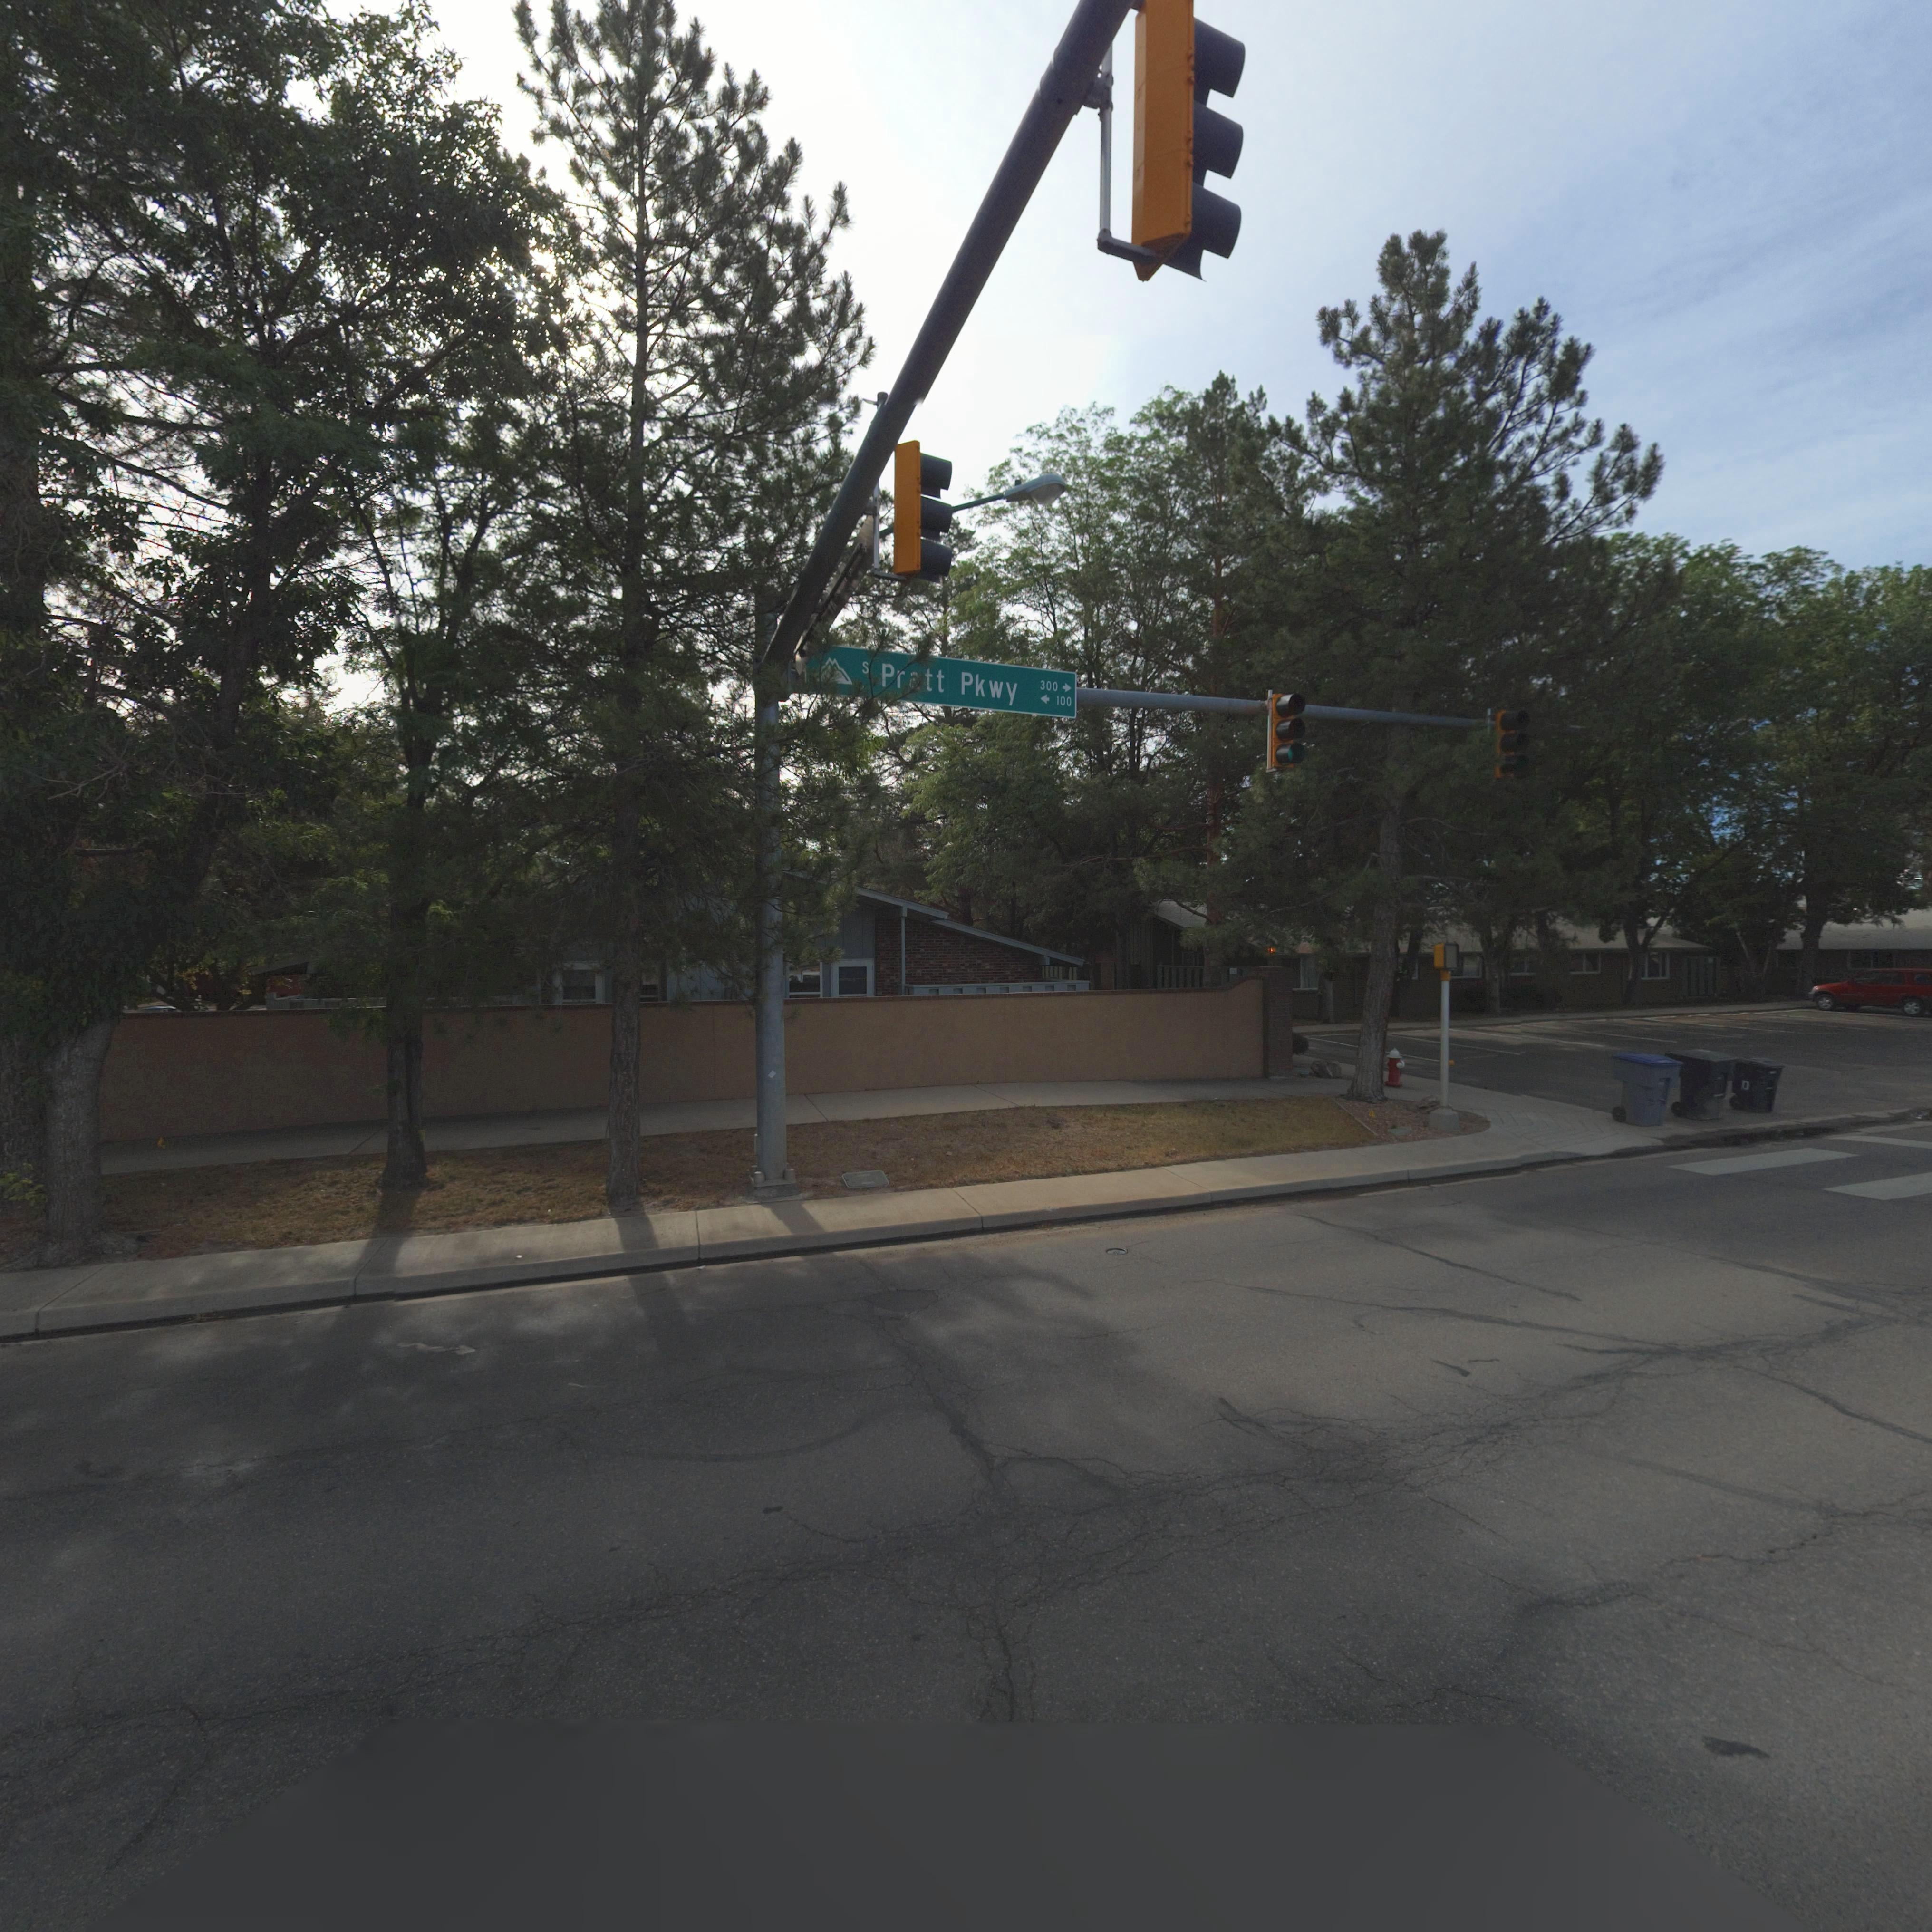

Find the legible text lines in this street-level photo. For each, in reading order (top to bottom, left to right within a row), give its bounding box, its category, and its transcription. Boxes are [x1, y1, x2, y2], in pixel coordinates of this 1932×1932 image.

[861, 660, 1018, 706] StreetName: s Pr*tt Pkwy
[1039, 679, 1072, 693] StreetNumberRange: 300->
[1040, 694, 1072, 706] StreetNumberRange: <-100